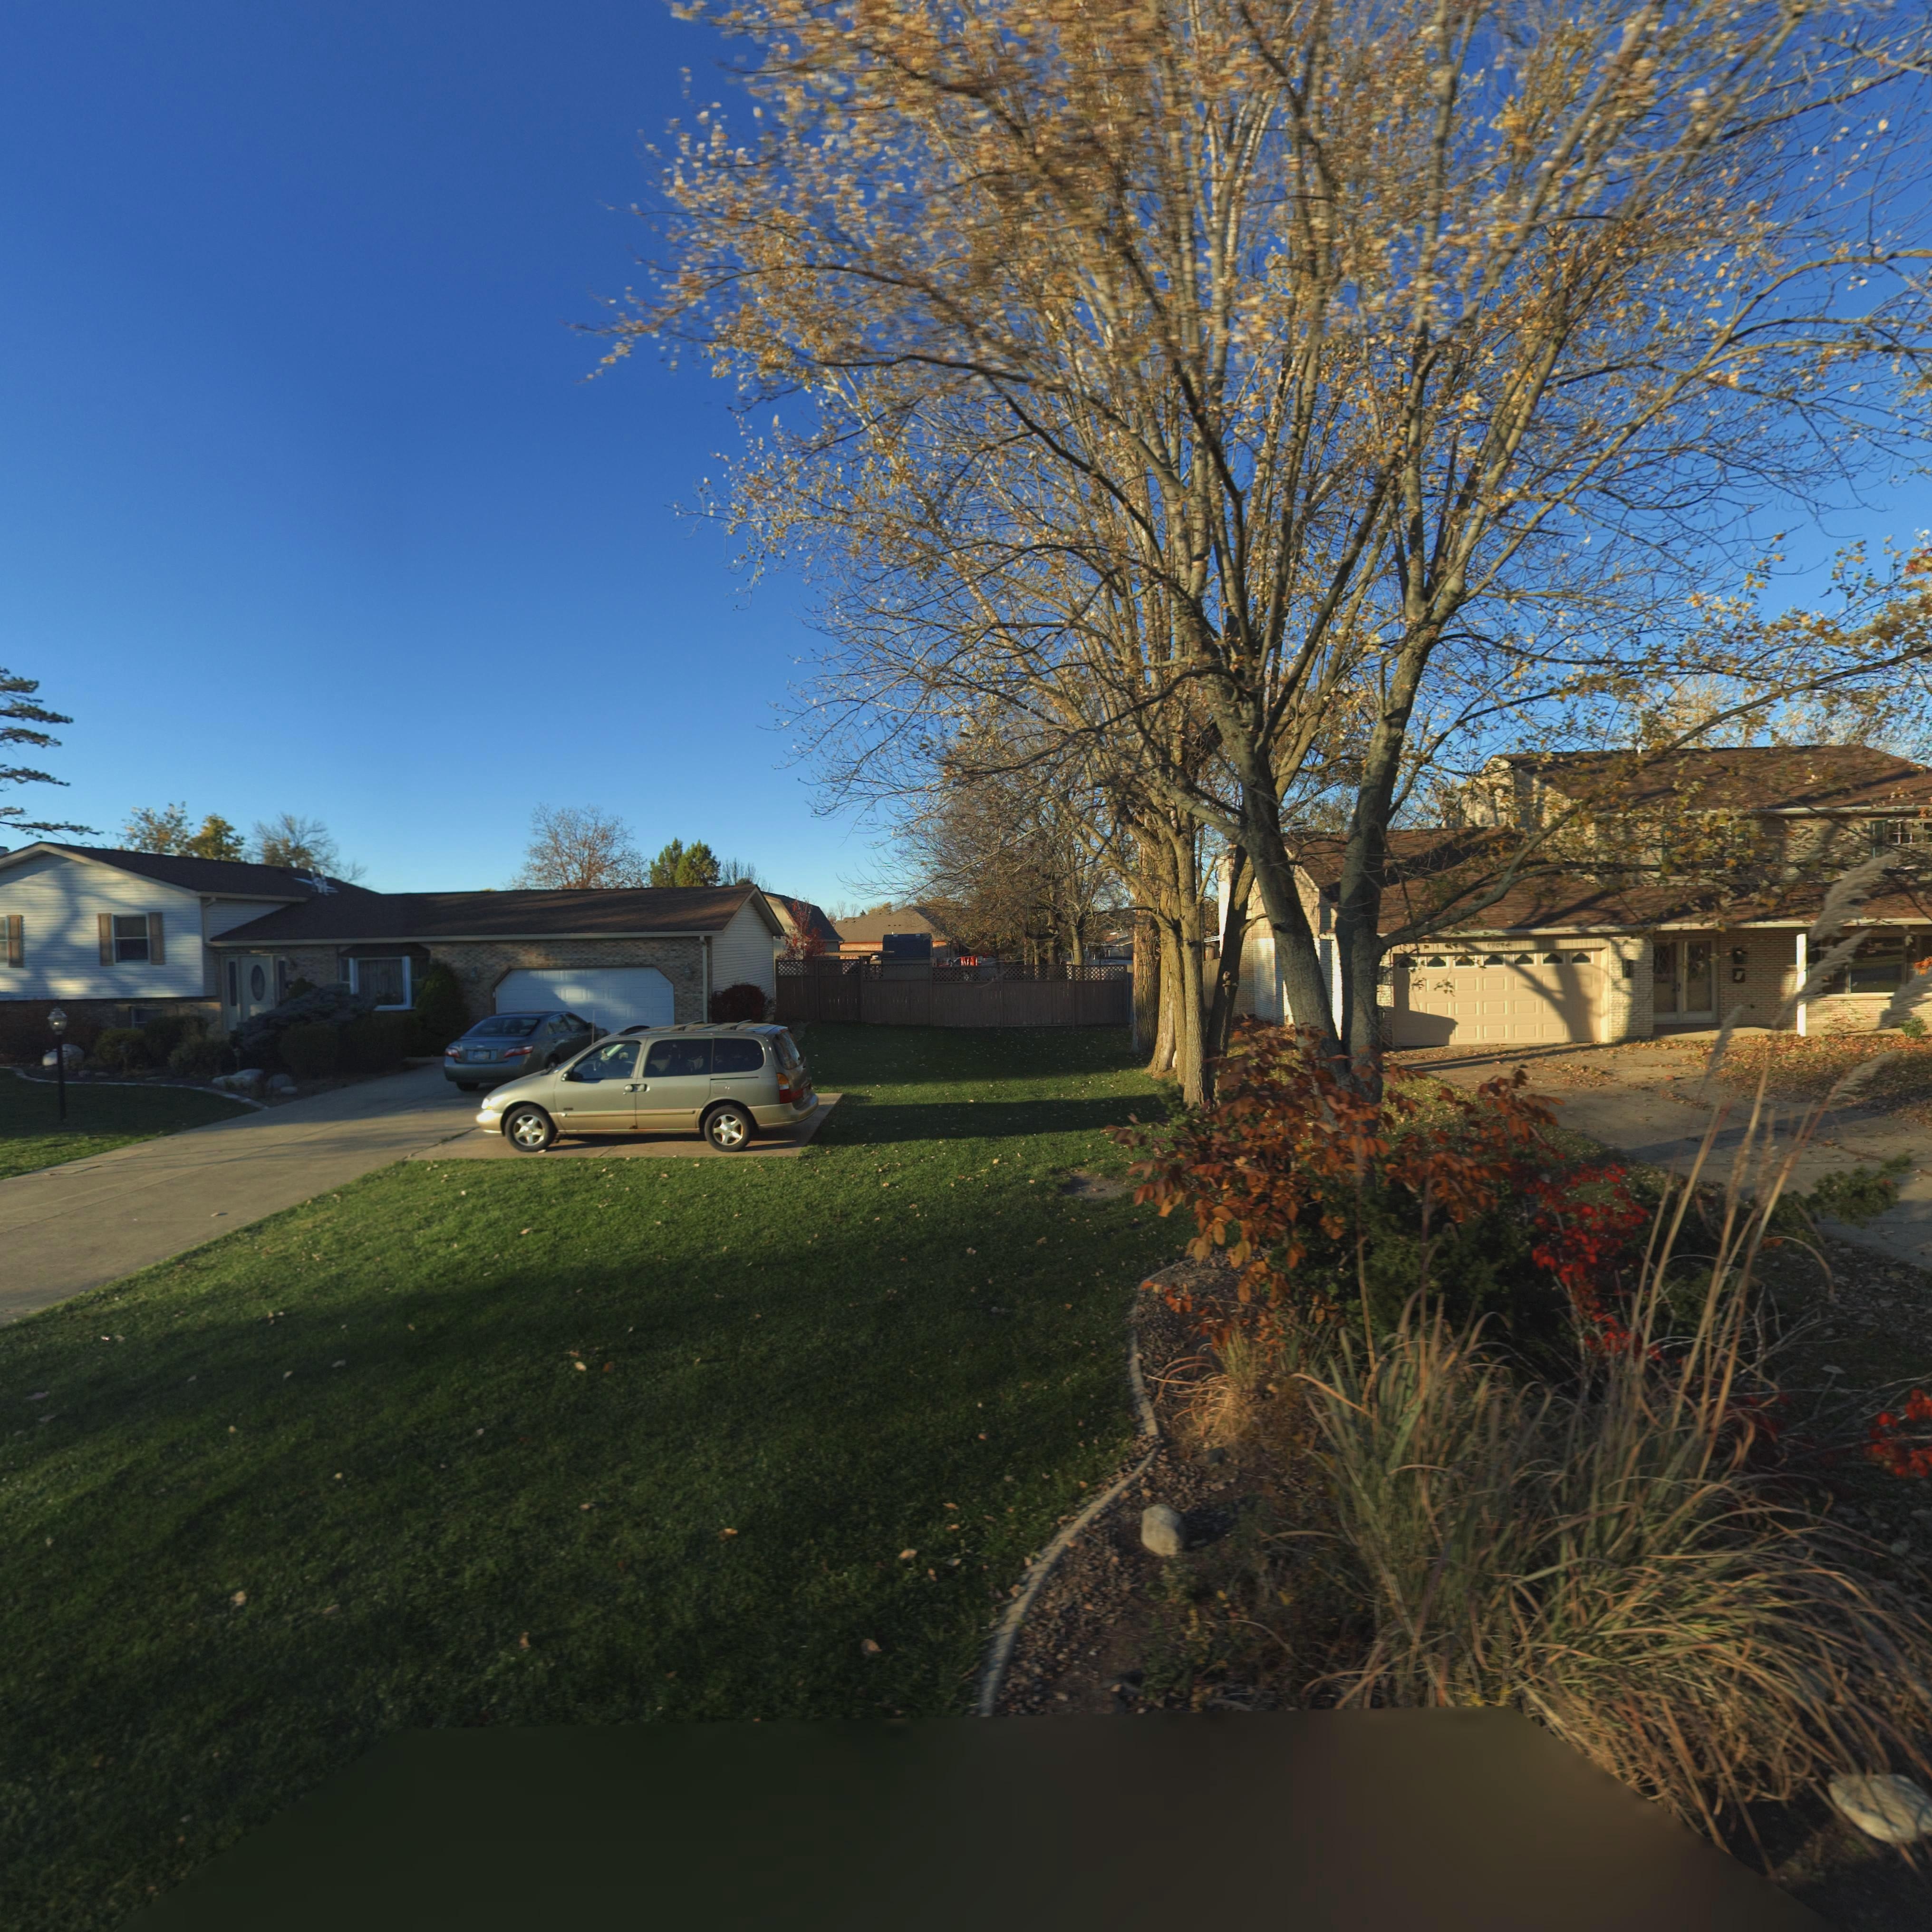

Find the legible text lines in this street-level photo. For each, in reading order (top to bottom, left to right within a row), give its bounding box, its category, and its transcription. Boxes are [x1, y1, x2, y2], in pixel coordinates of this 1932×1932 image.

[1485, 940, 1506, 949] StreetNumber: 496*